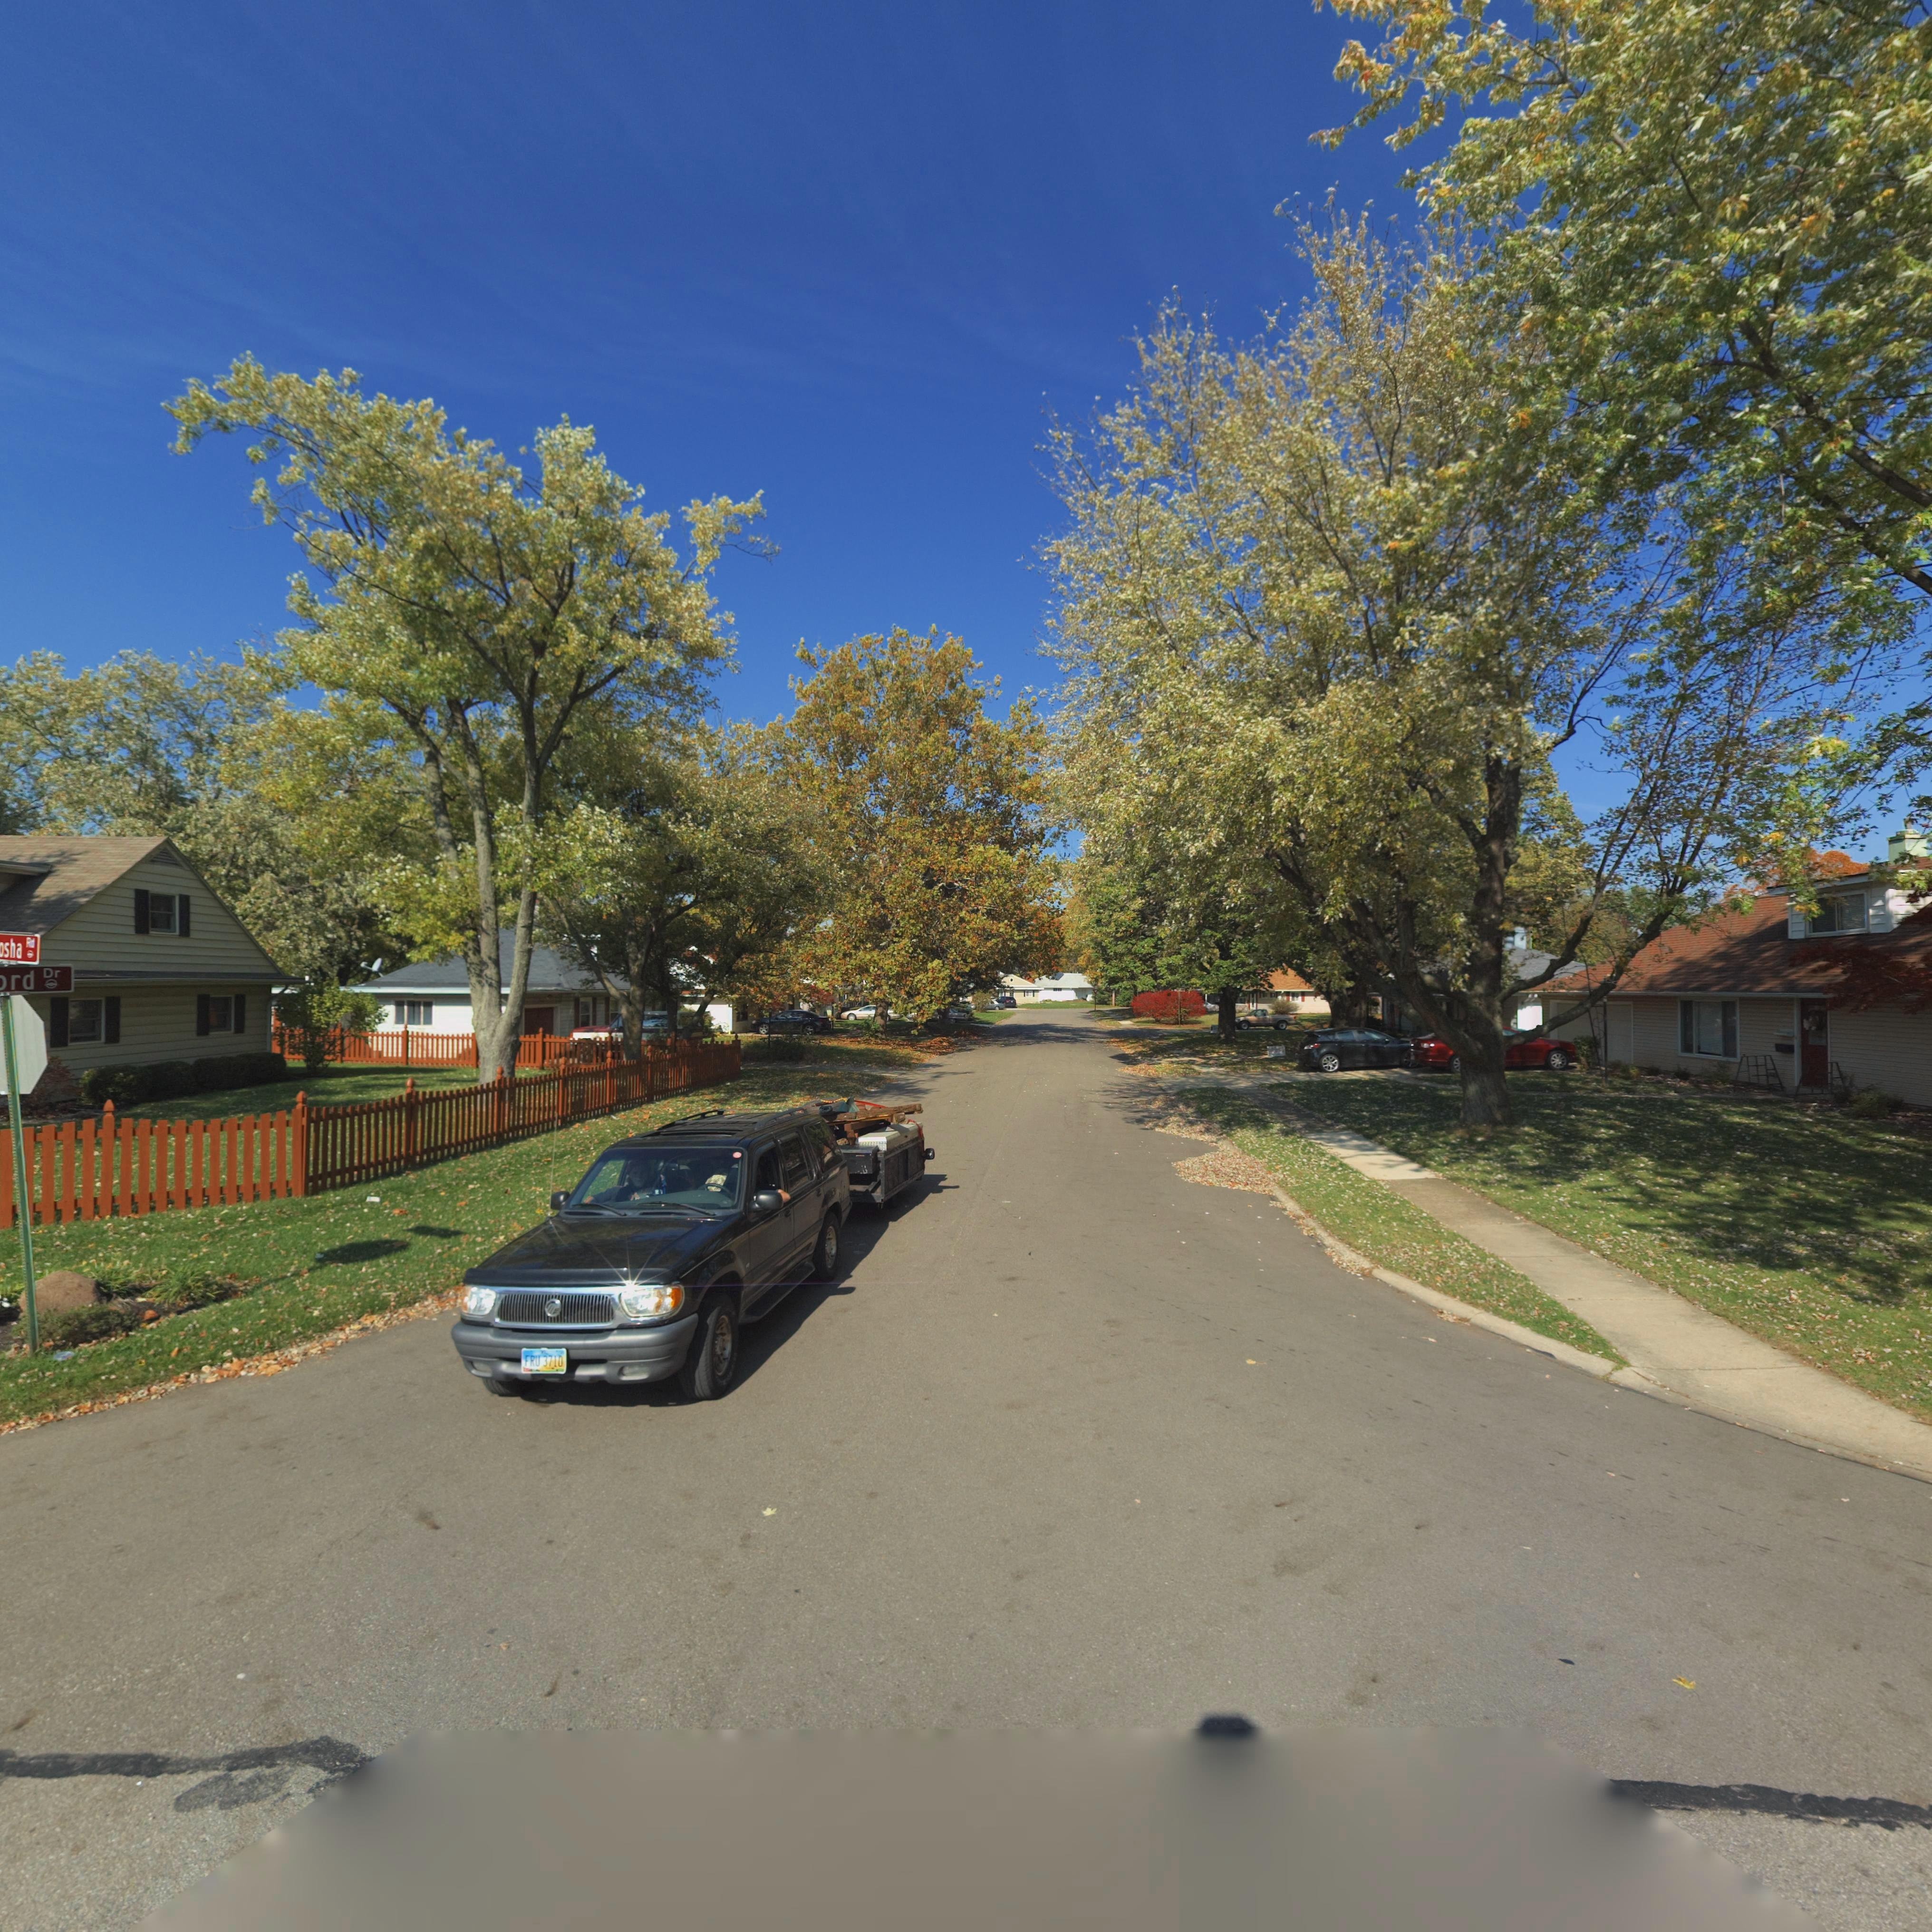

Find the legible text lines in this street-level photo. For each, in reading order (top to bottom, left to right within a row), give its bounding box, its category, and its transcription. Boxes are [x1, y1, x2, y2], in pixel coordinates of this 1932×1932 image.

[2, 936, 37, 960] StreetName: sha Rd
[9, 966, 62, 992] StreetName: rd Dr
[523, 1353, 564, 1369] None: FRU 3710